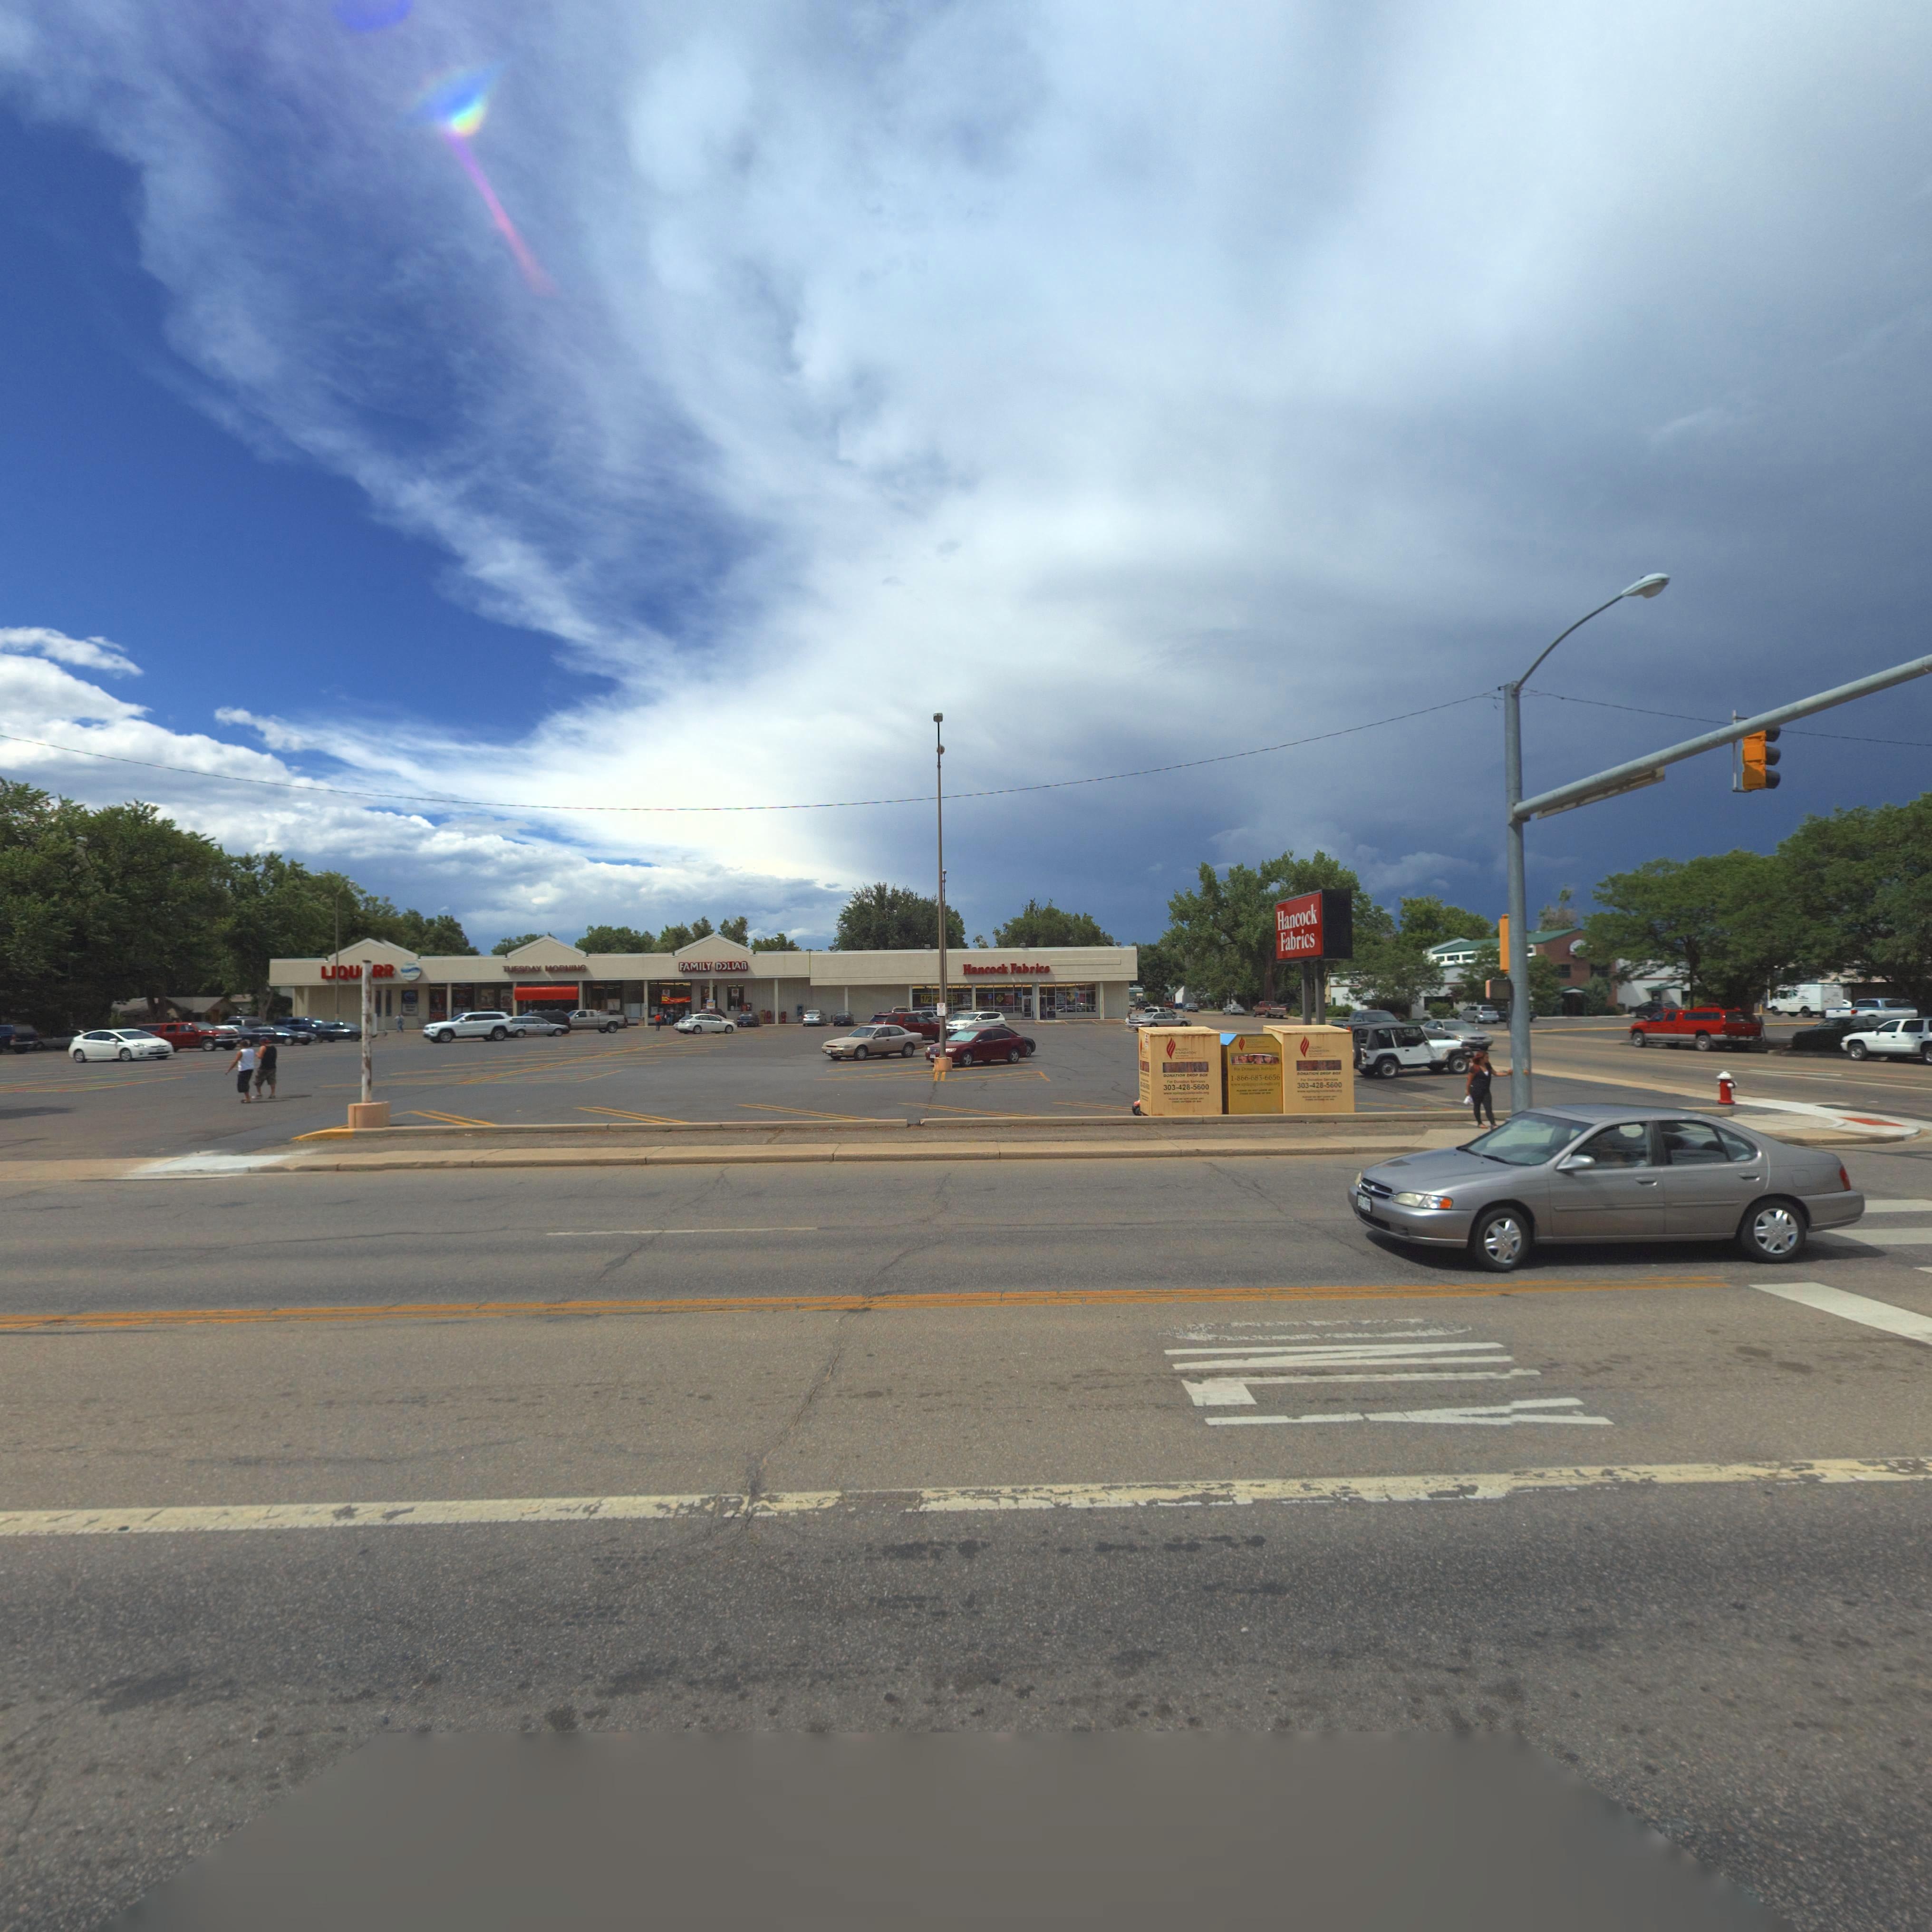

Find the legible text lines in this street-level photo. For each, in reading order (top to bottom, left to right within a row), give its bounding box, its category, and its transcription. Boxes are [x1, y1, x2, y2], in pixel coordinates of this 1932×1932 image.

[1277, 904, 1317, 930] BusinessName: Hancock
[1280, 929, 1314, 951] BusinessName: Fabrics
[502, 965, 585, 972] BusinessName: TUESDAY MORNING
[679, 962, 746, 970] BusinessName: FAMILY DOLLAR
[963, 963, 1050, 974] BusinessName: Hancock Fabrics